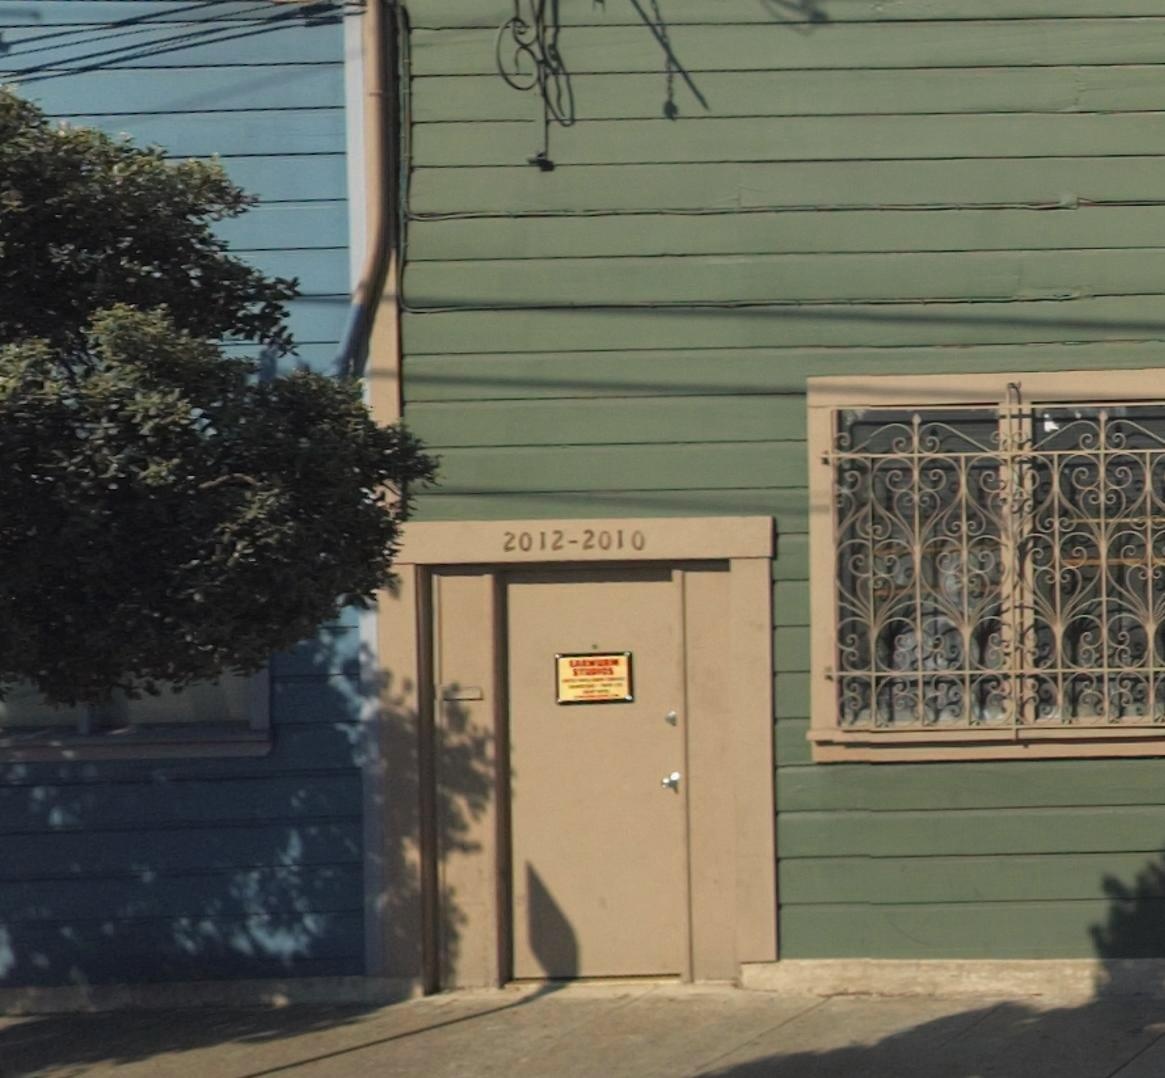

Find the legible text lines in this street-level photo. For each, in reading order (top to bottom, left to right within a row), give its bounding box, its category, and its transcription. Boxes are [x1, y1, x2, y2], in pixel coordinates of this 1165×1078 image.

[502, 528, 566, 553] StreetNumber: 2012
[581, 527, 647, 552] StreetNumber: 2010